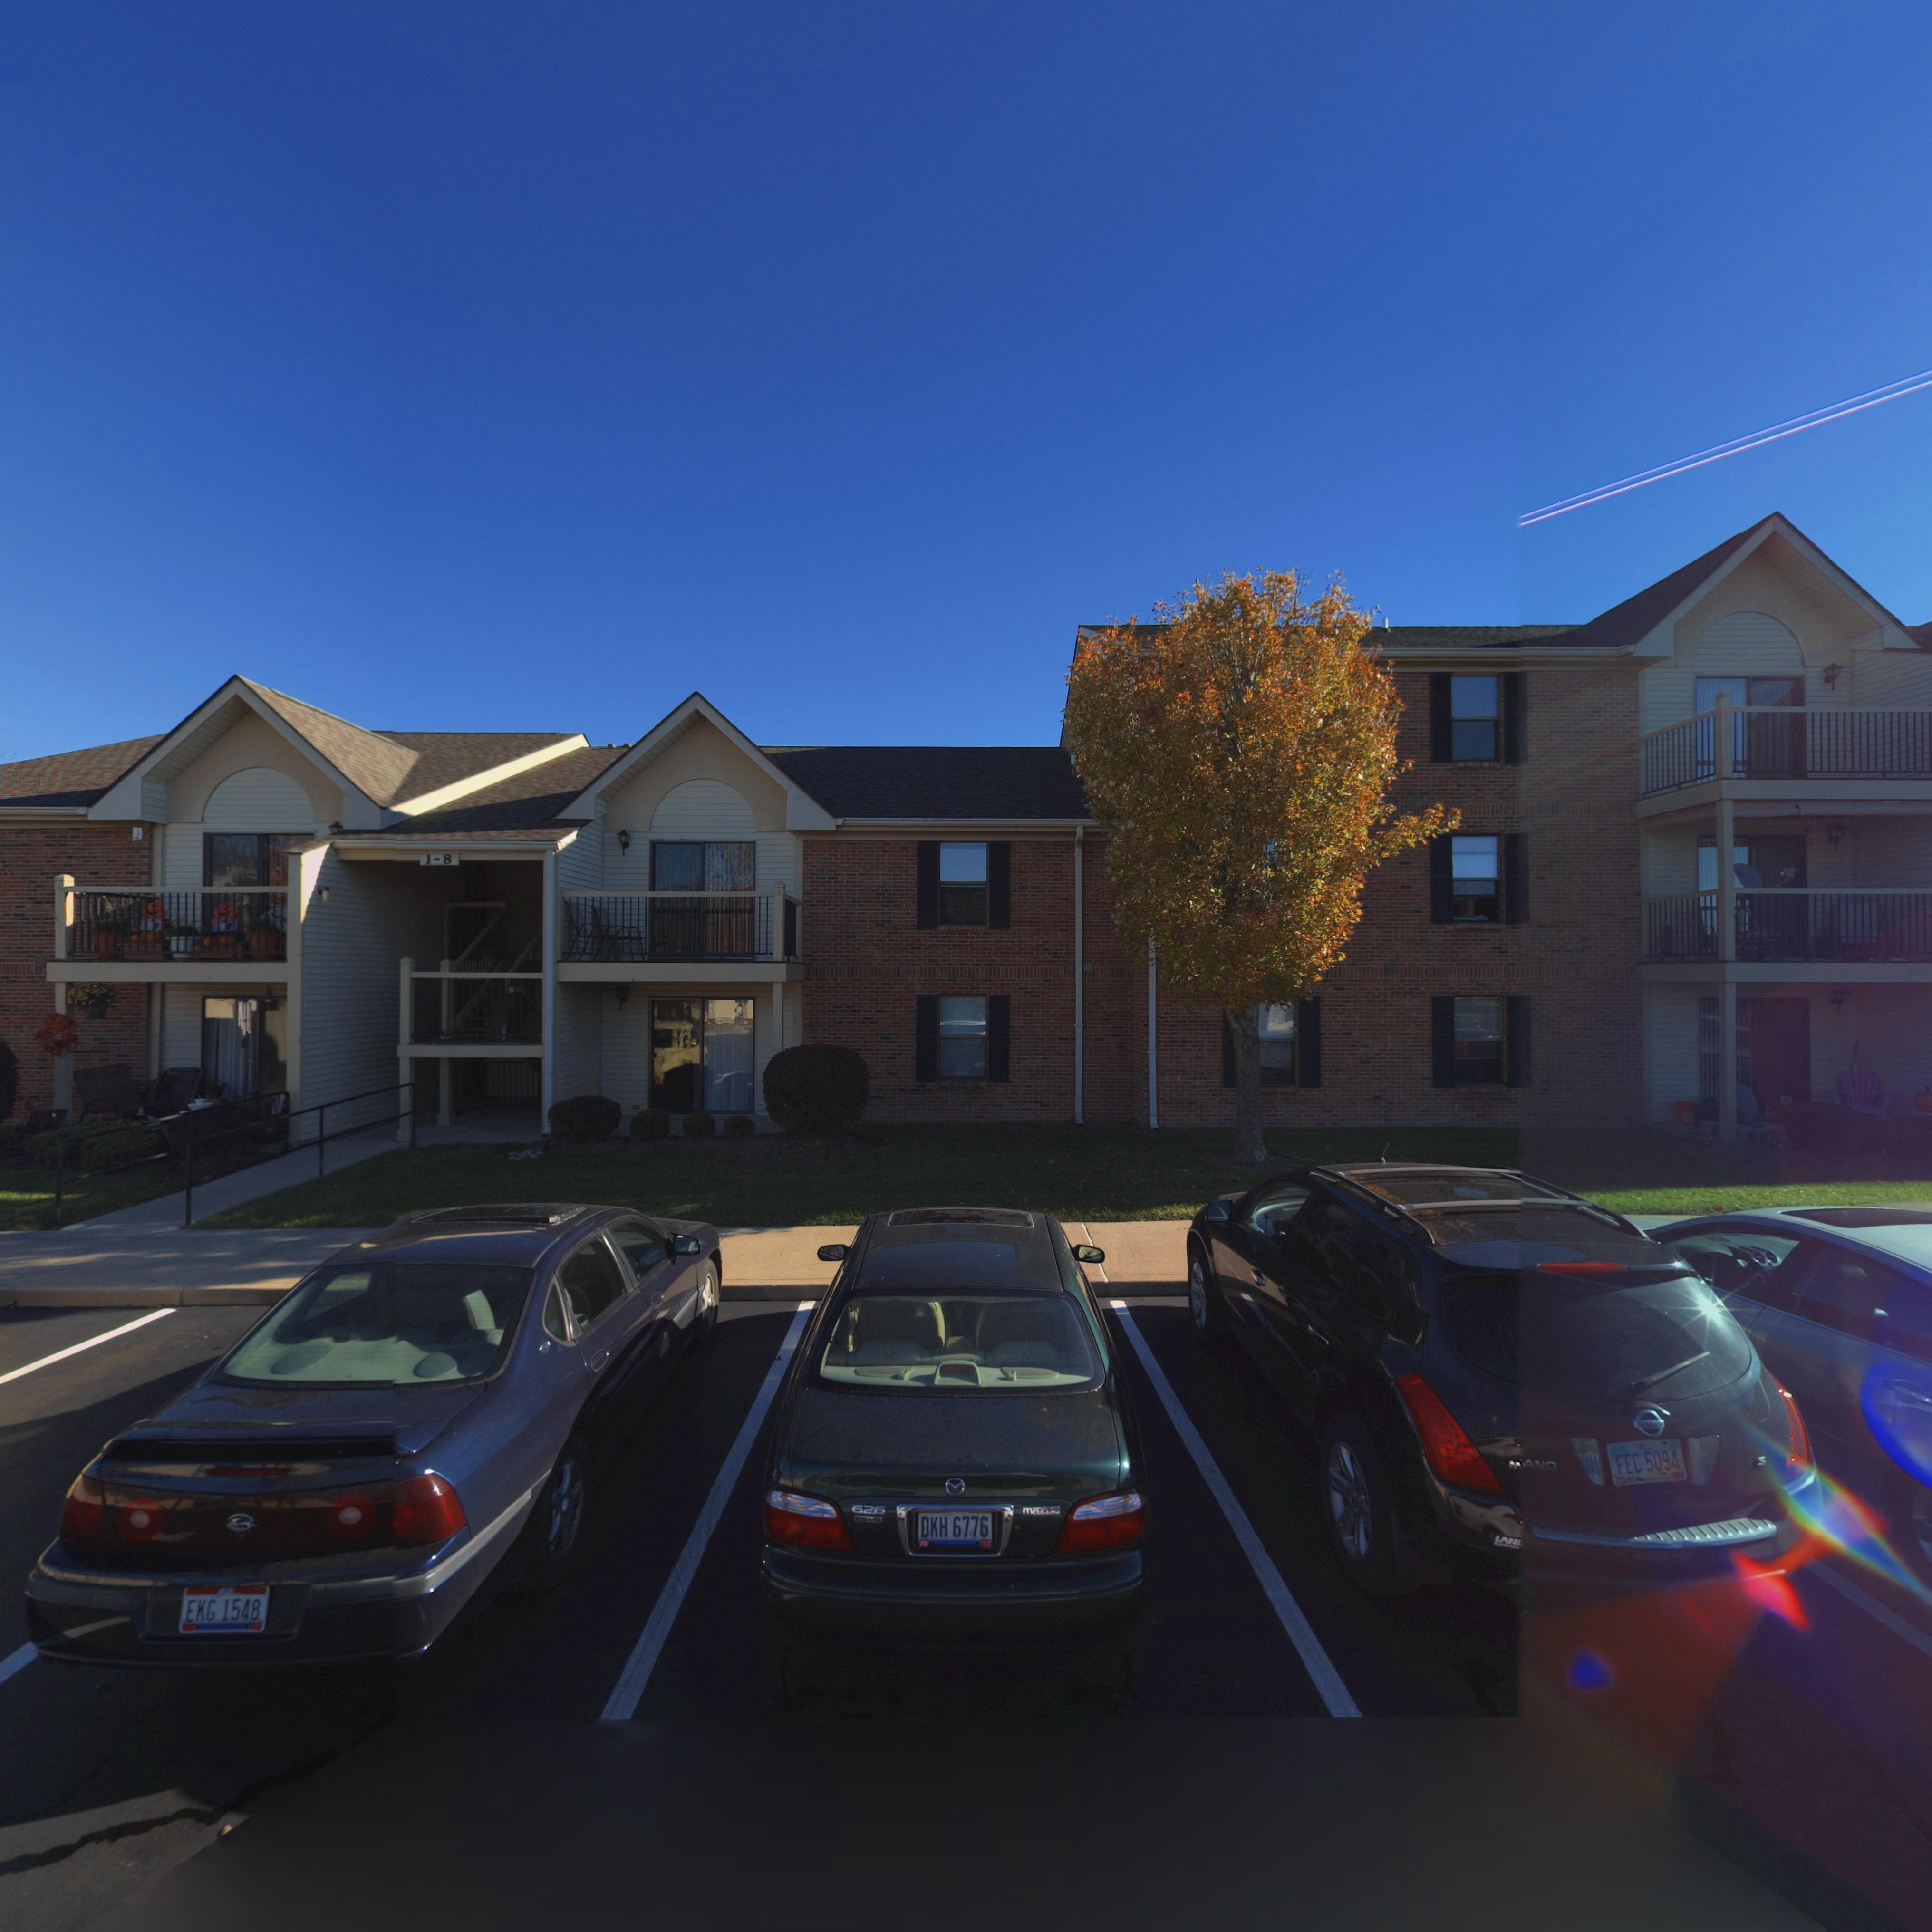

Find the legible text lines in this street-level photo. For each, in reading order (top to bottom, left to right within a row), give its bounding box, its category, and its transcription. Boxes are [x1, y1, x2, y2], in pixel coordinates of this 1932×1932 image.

[425, 852, 452, 865] StreetNumber: 1-8